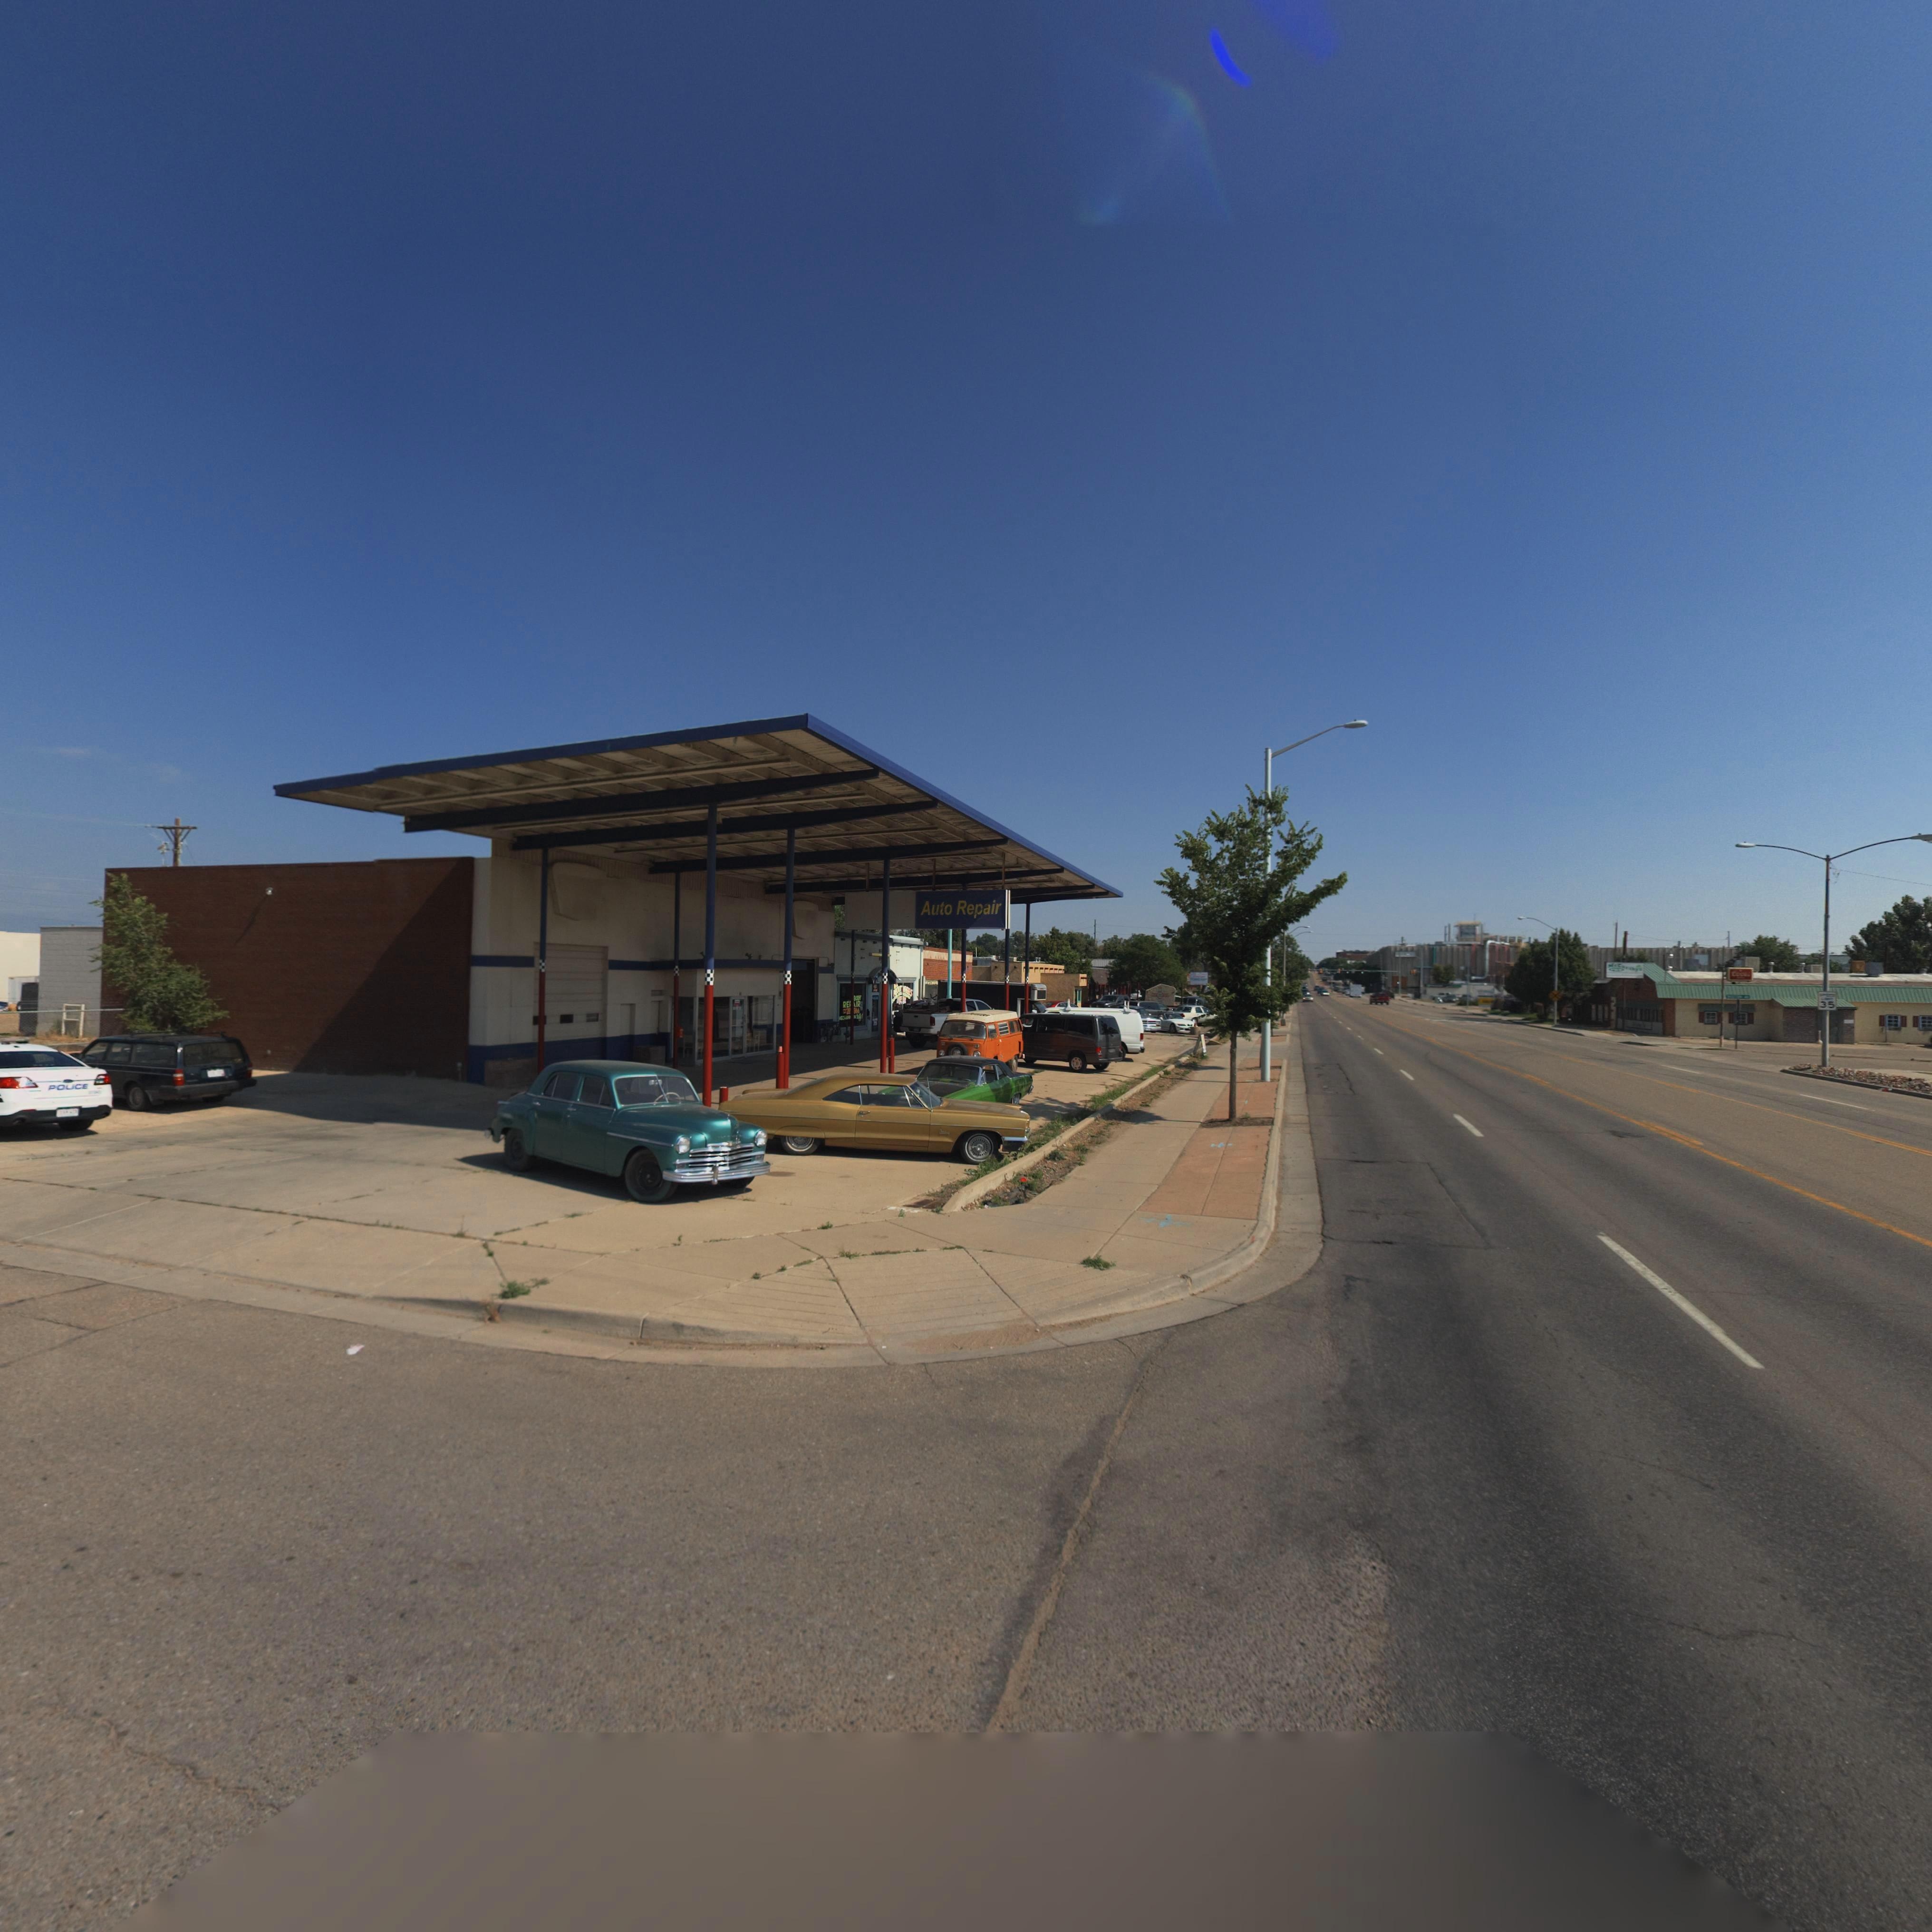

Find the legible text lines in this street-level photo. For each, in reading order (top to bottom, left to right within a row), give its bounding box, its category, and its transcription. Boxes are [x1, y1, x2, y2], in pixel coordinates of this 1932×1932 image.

[1608, 963, 1642, 973] BusinessName: Nc*********
[893, 985, 913, 997] BusinessName: ABOUT WHEELS